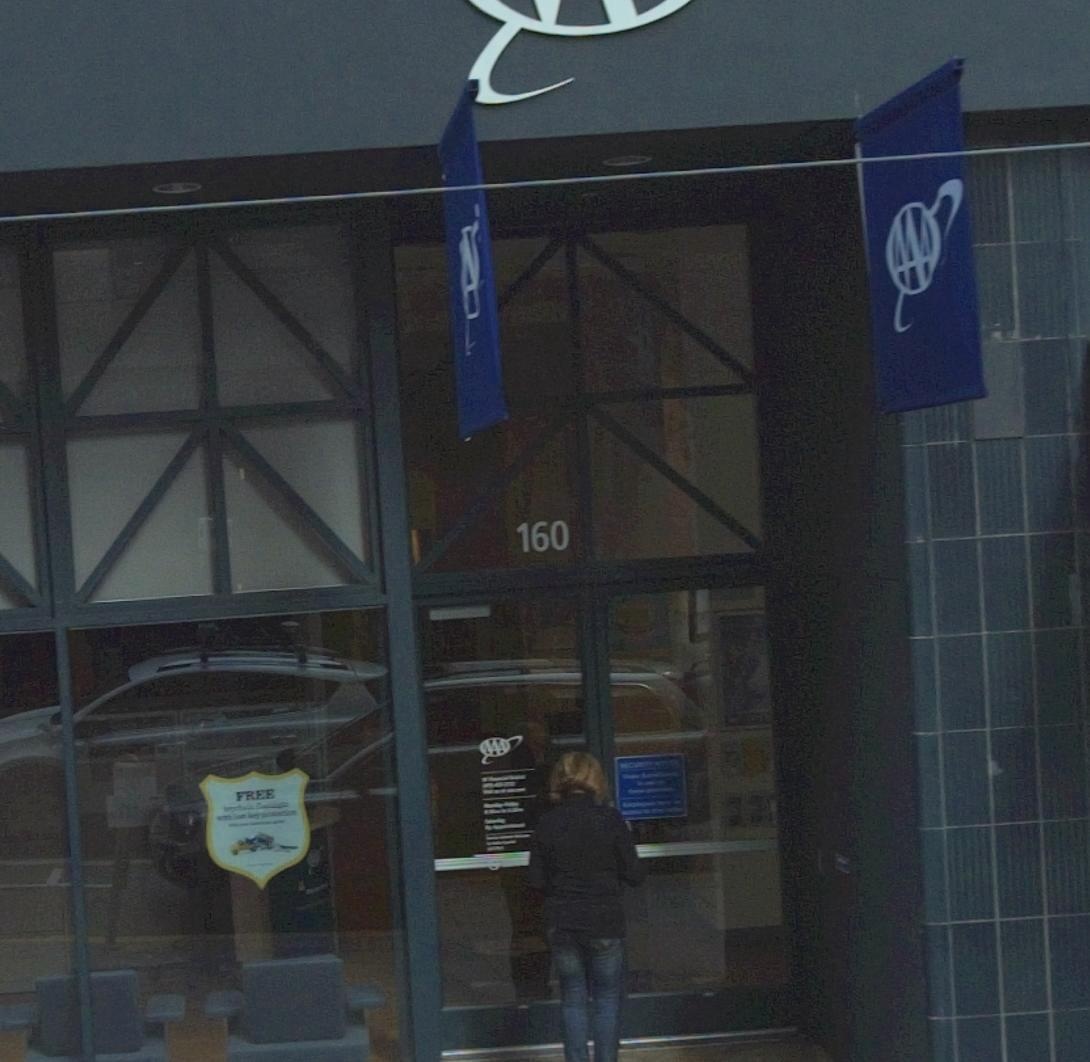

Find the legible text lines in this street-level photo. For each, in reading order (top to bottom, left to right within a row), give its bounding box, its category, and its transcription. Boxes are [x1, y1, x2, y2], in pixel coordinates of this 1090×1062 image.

[884, 200, 940, 301] None: AAA
[513, 517, 572, 556] StreetNumber: 160
[482, 736, 508, 757] None: AAA
[233, 786, 278, 805] None: FREE